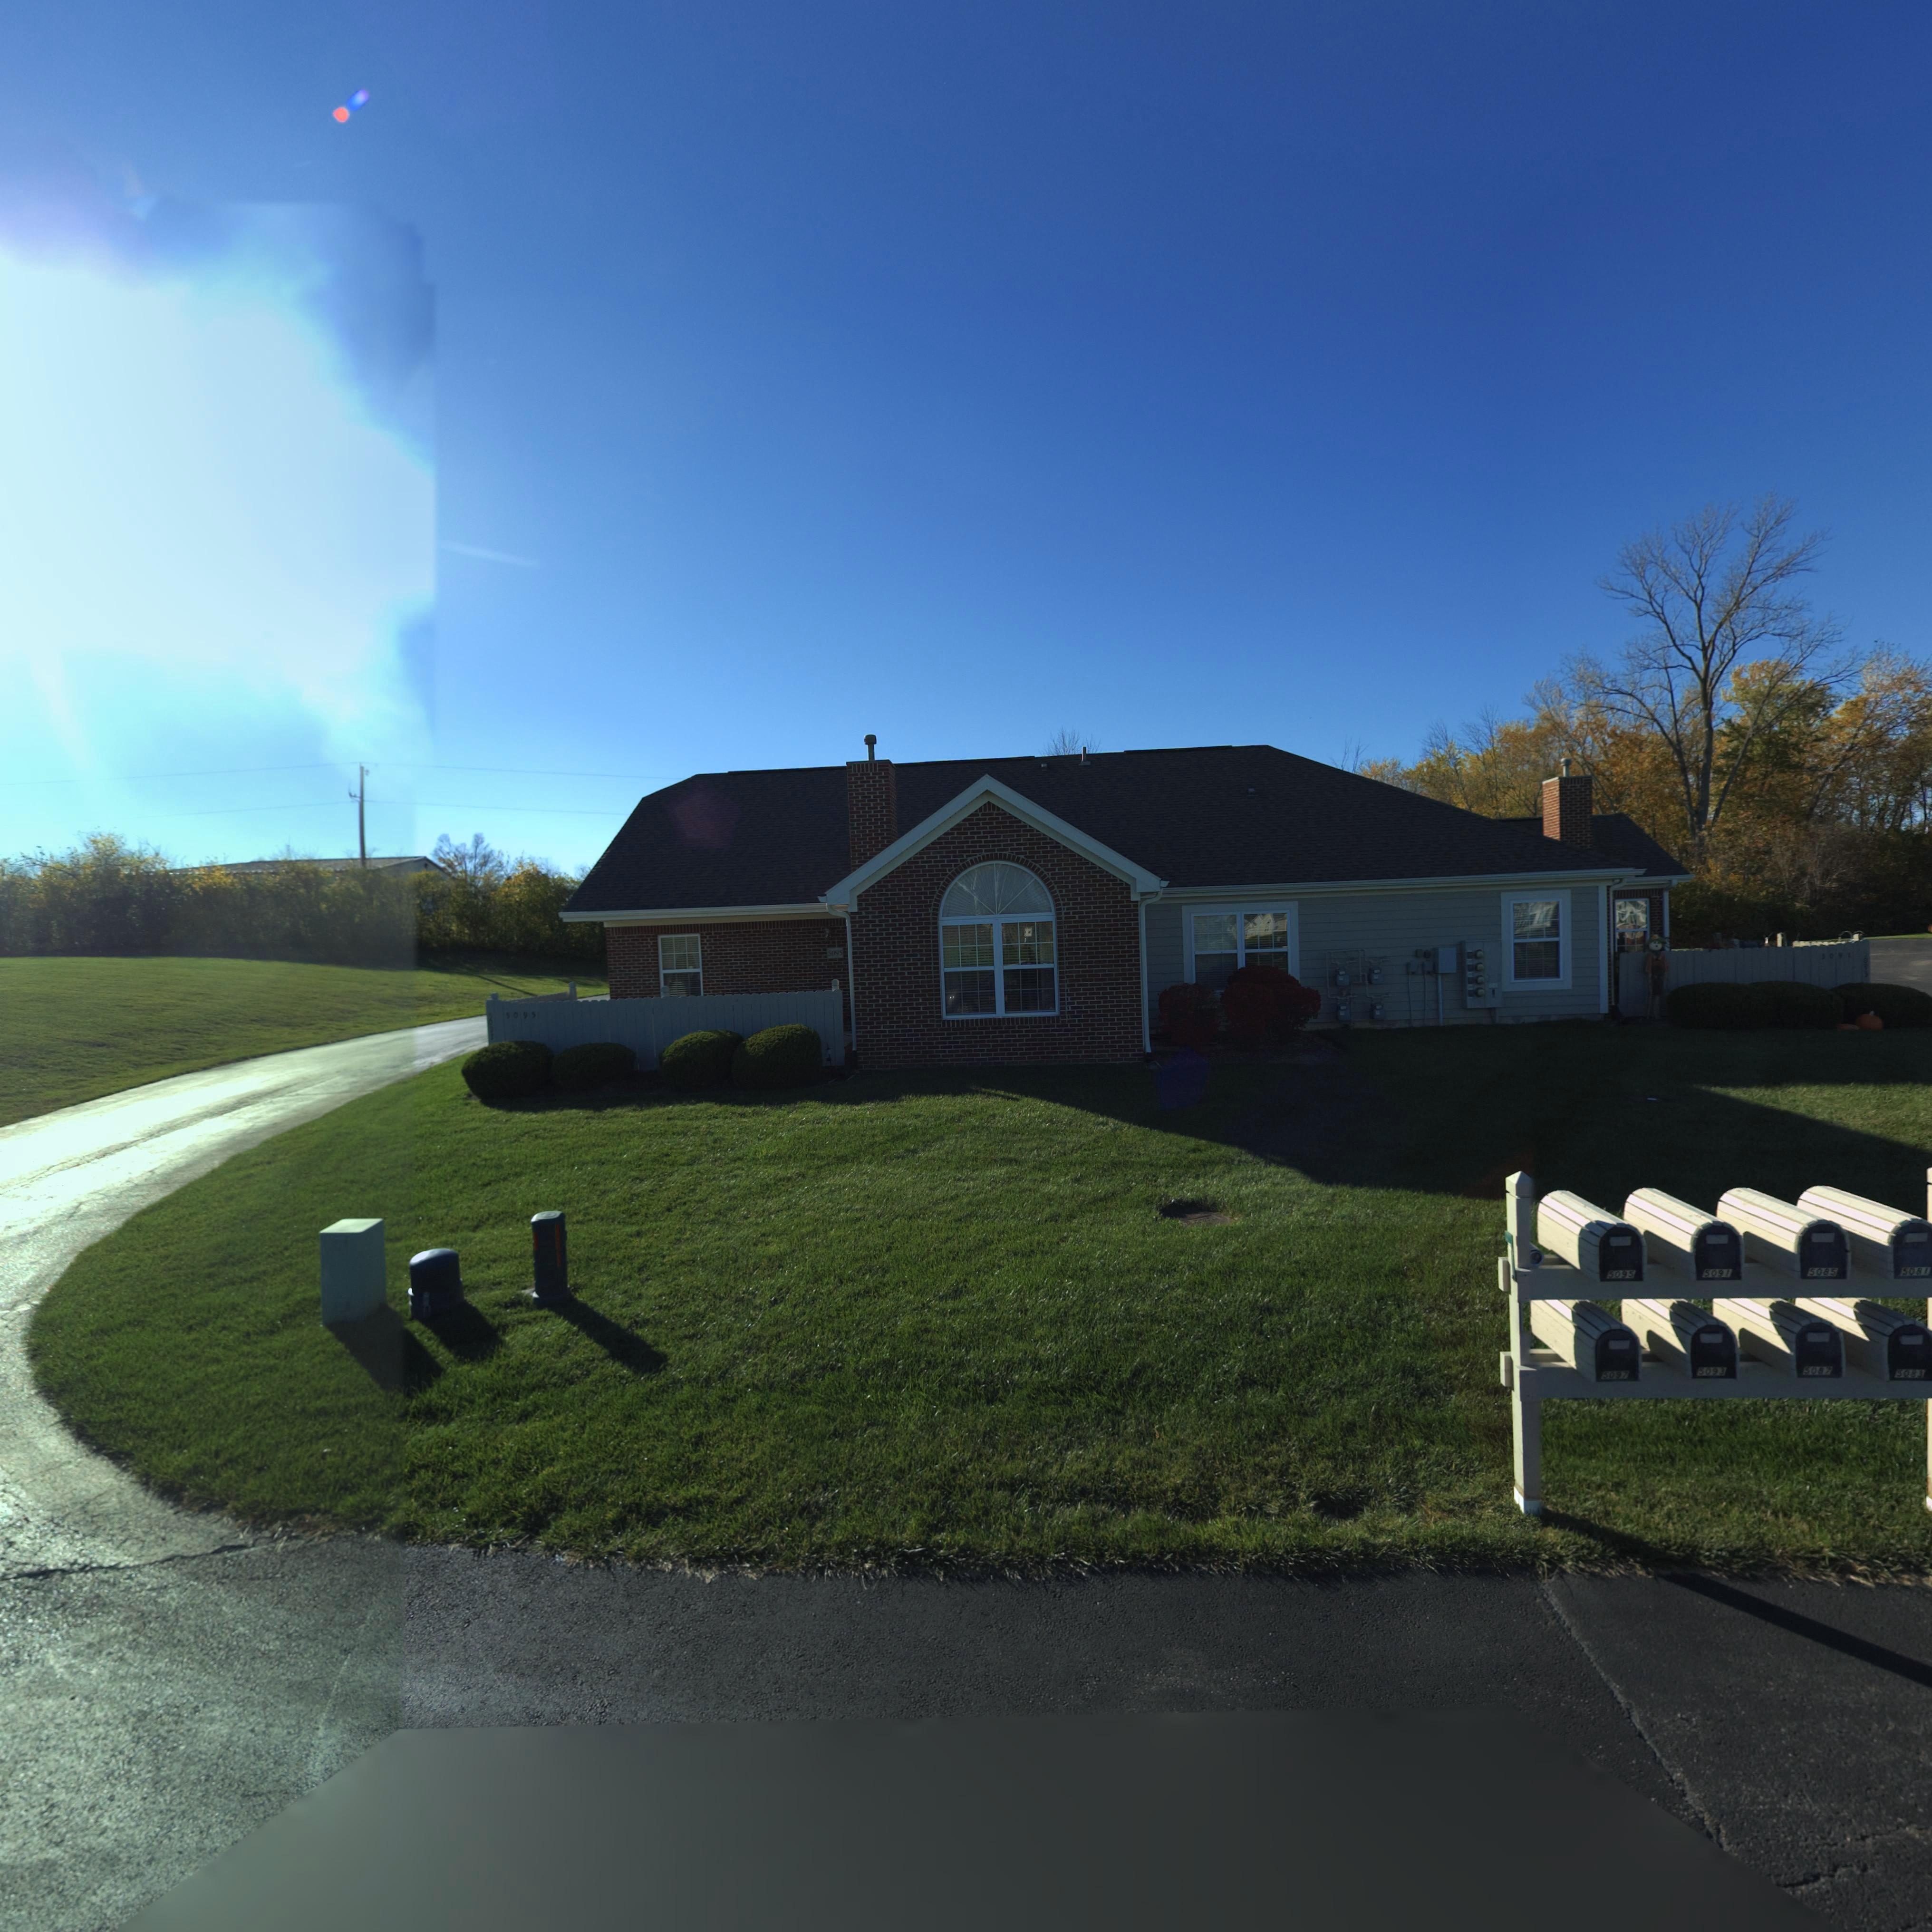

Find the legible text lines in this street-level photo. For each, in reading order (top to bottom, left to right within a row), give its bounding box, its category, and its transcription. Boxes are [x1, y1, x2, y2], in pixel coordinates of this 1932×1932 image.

[827, 948, 844, 958] StreetNumber: 5095
[1820, 951, 1852, 961] StreetNumber: *0**
[1861, 949, 1870, 978] StreetNumber: *0**
[1607, 1269, 1635, 1279] StreetNumber: 5095
[1703, 1268, 1732, 1279] StreetNumber: 5091
[1808, 1267, 1838, 1277] StreetNumber: 5085
[1900, 1266, 1930, 1277] StreetNumber: 5081
[1602, 1371, 1630, 1380] StreetNumber: 5097
[1697, 1366, 1726, 1377] StreetNumber: 5093
[1803, 1365, 1833, 1376] StreetNumber: 5087
[1895, 1368, 1925, 1379] StreetNumber: 5083